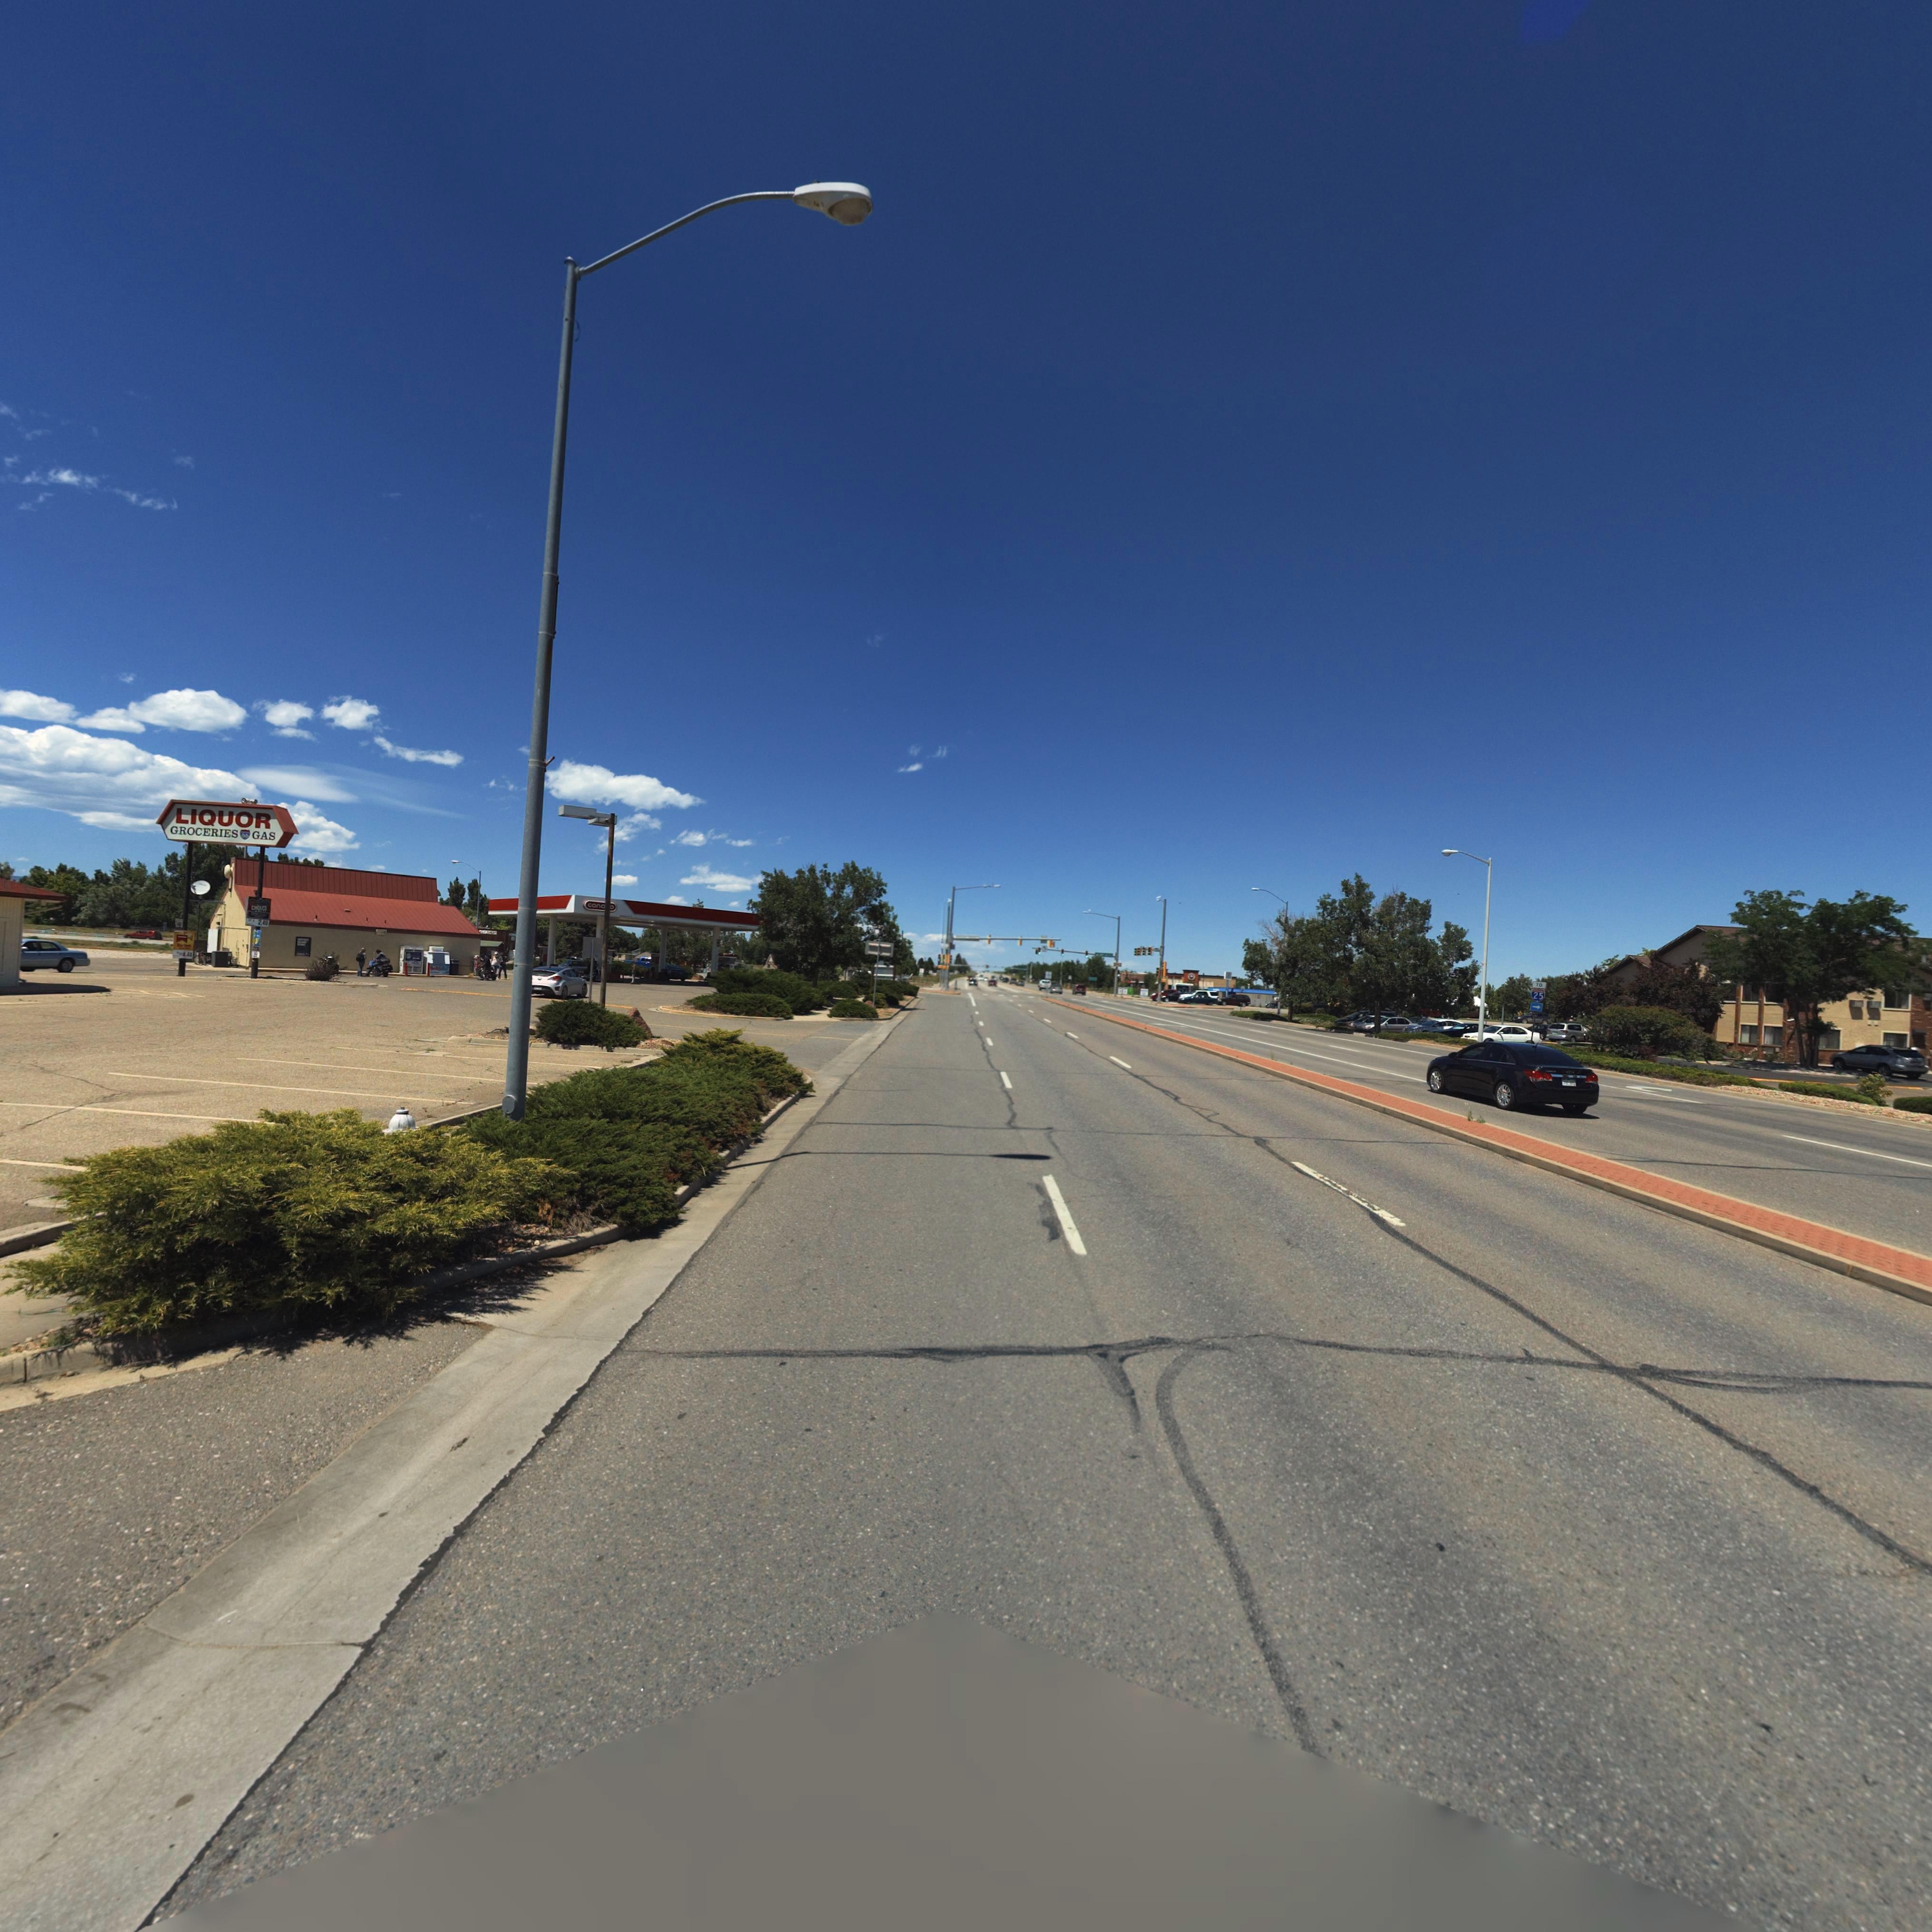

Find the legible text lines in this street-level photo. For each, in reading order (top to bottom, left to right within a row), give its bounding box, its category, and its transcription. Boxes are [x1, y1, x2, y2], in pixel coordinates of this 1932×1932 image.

[587, 903, 614, 909] BusinessName: cono*o